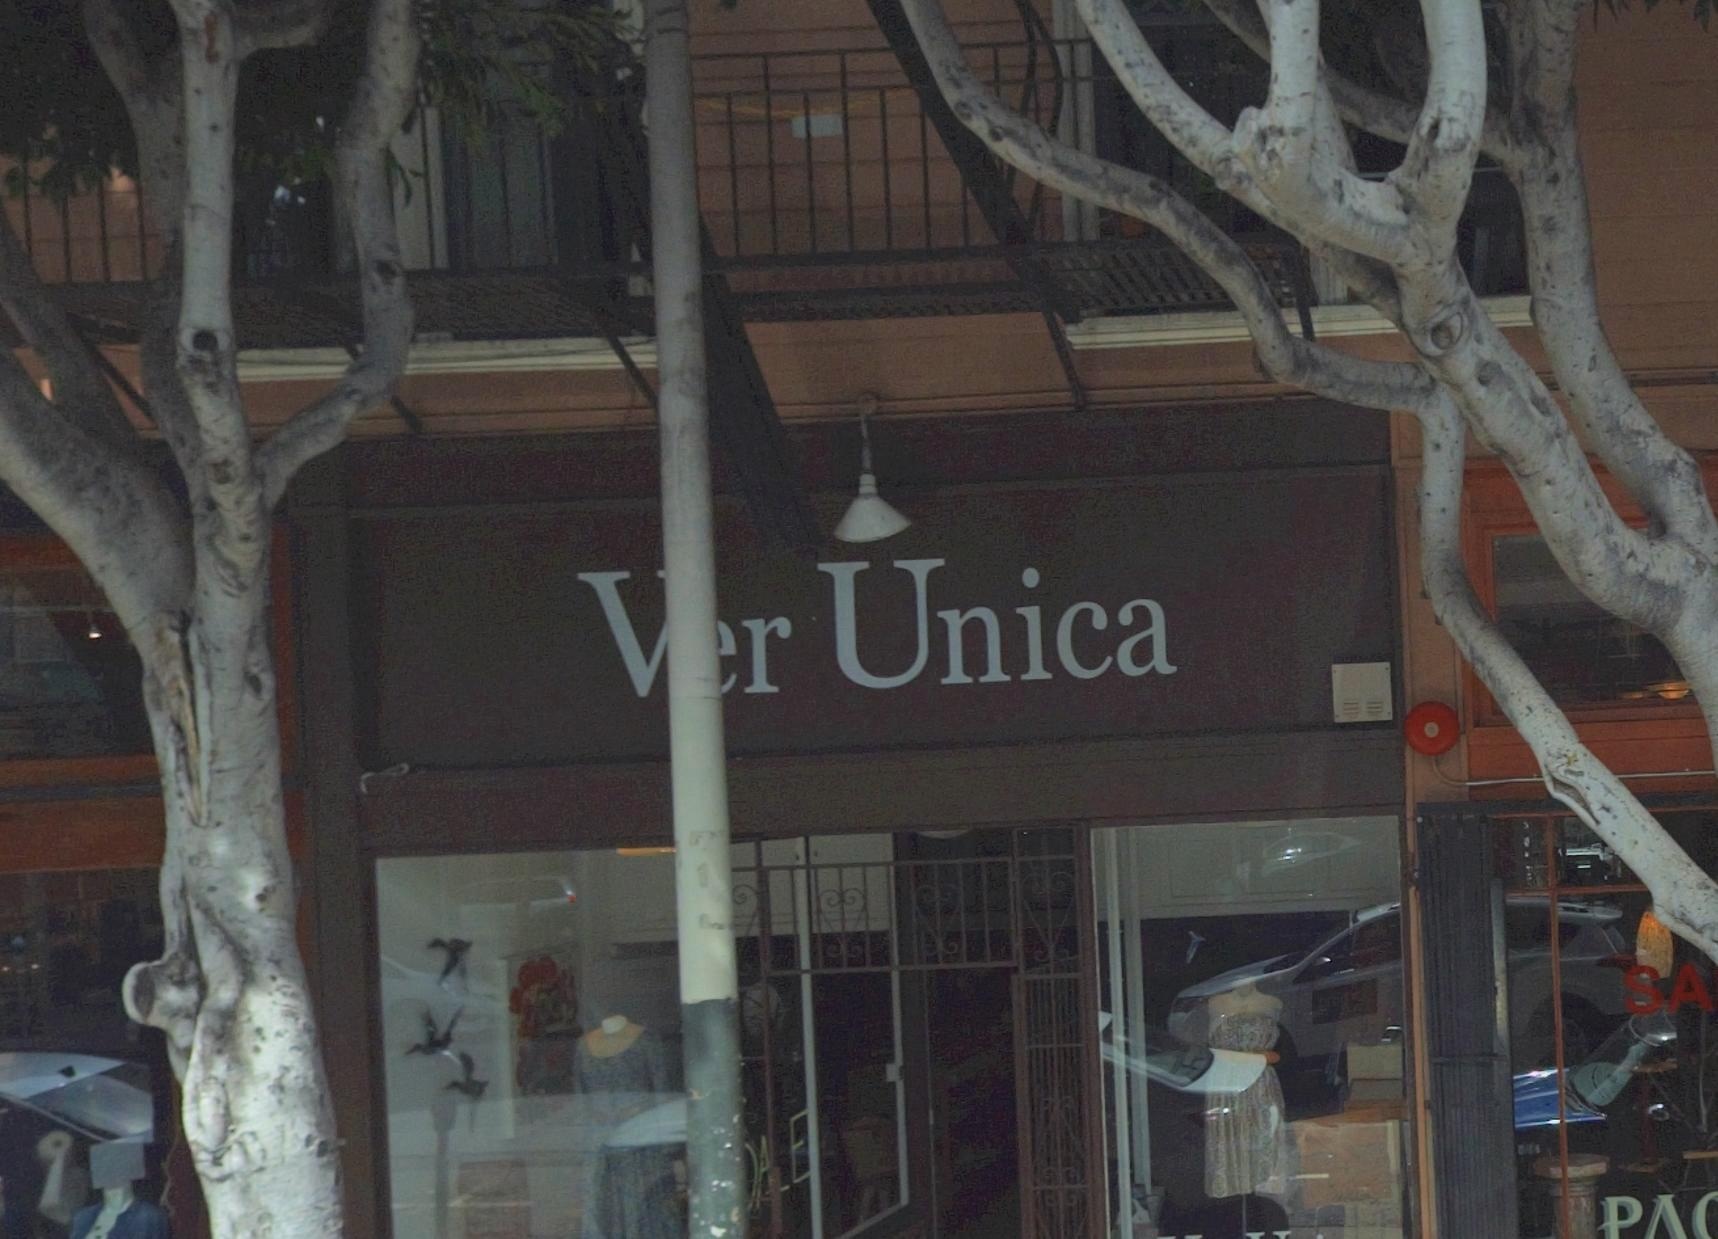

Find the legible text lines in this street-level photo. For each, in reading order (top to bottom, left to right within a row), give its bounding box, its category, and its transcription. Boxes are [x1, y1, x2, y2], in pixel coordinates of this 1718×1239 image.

[563, 553, 1191, 703] BusinessName: V*r Unica
[1621, 961, 1718, 1020] None: SA
[787, 1104, 813, 1189] None: E
[1598, 1192, 1690, 1239] BusinessName: PA